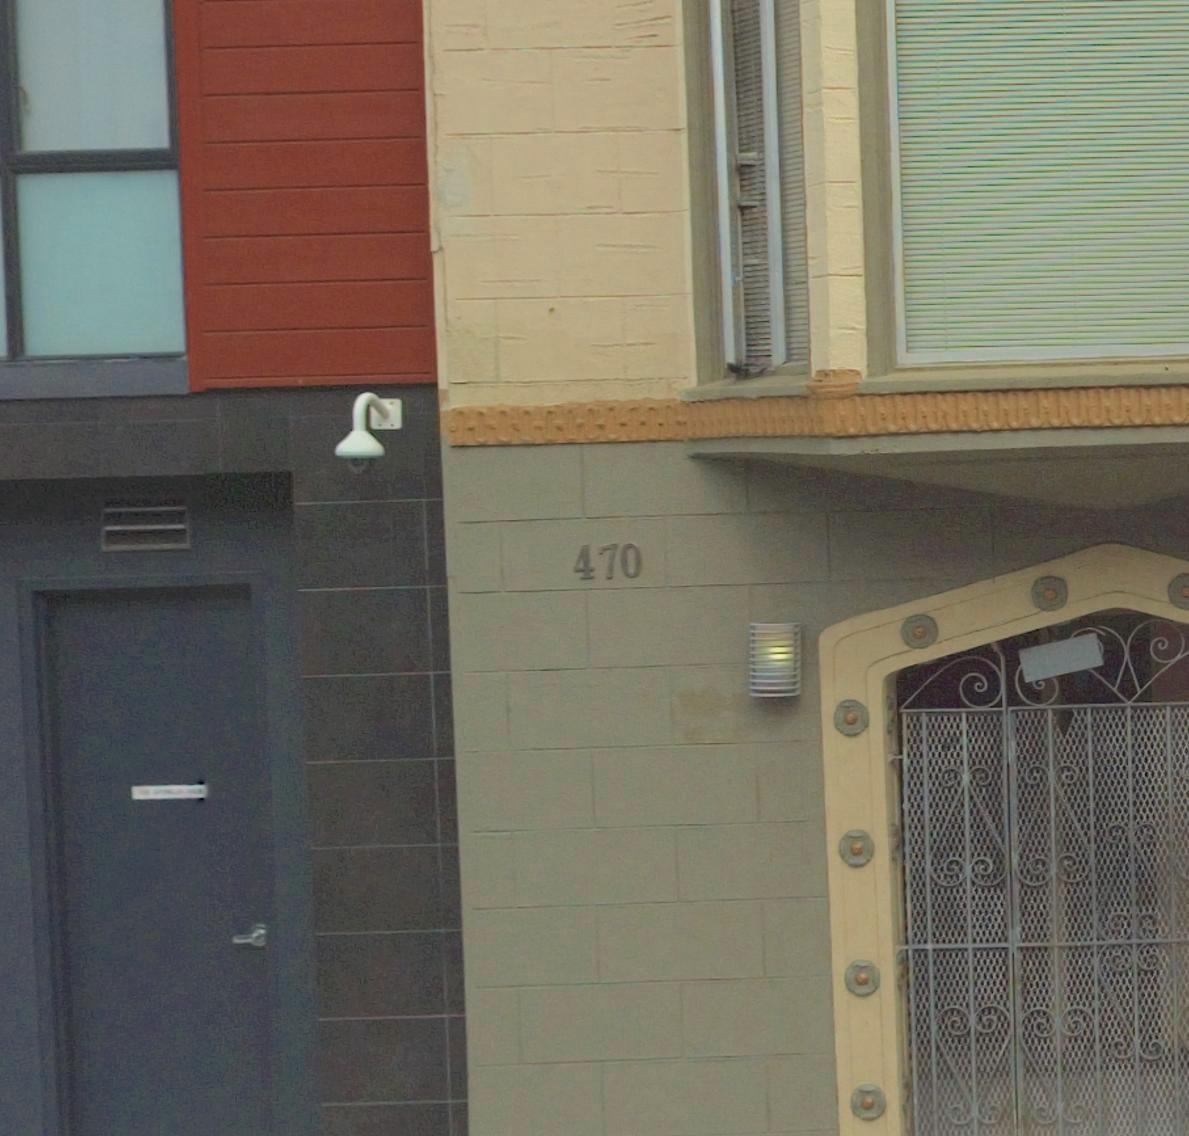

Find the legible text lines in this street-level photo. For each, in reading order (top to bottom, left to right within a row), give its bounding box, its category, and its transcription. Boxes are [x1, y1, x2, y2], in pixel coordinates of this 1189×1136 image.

[570, 540, 646, 583] StreetNumber: 470